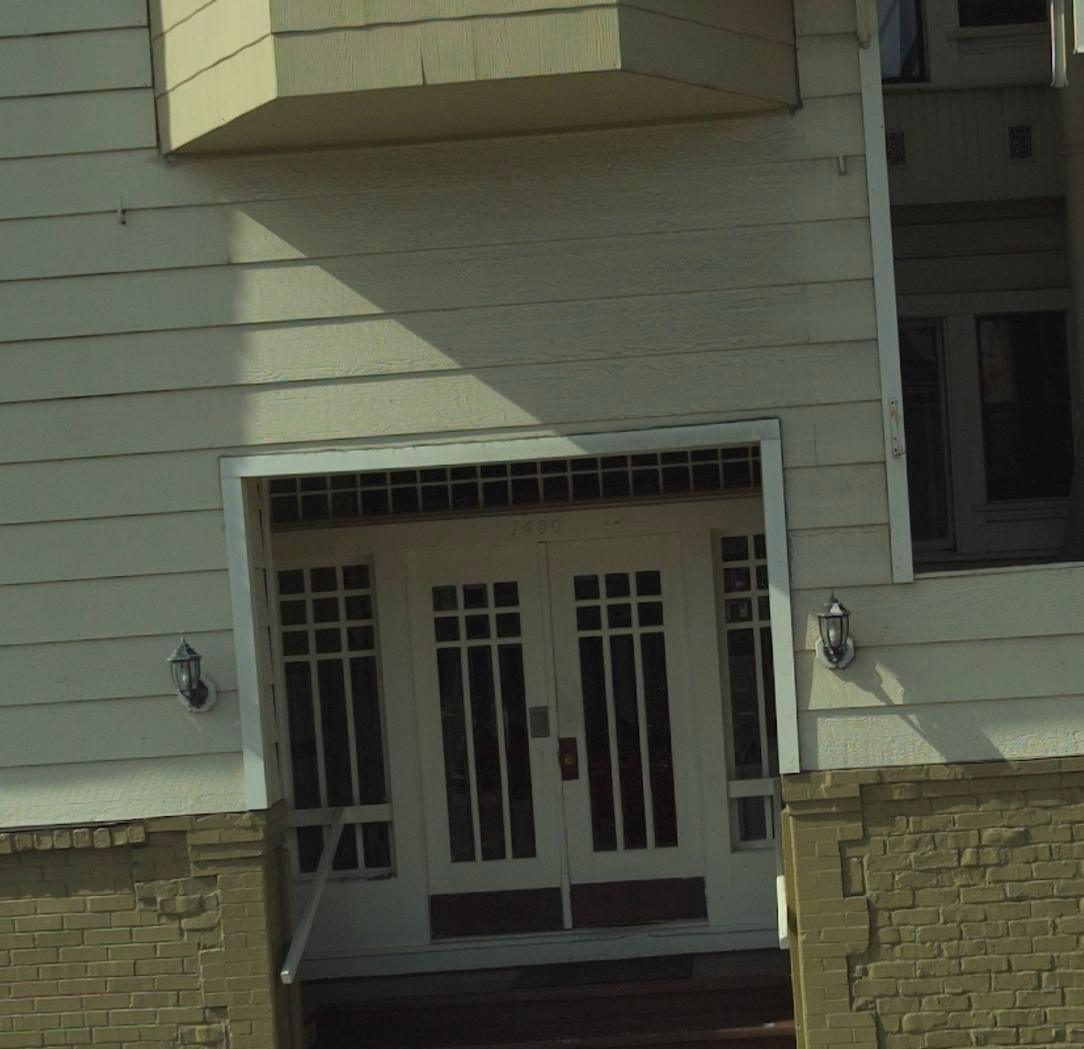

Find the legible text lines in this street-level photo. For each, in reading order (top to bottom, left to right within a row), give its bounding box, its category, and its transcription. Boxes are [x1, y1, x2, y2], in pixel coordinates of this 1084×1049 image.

[510, 517, 562, 537] StreetNumber: 1450